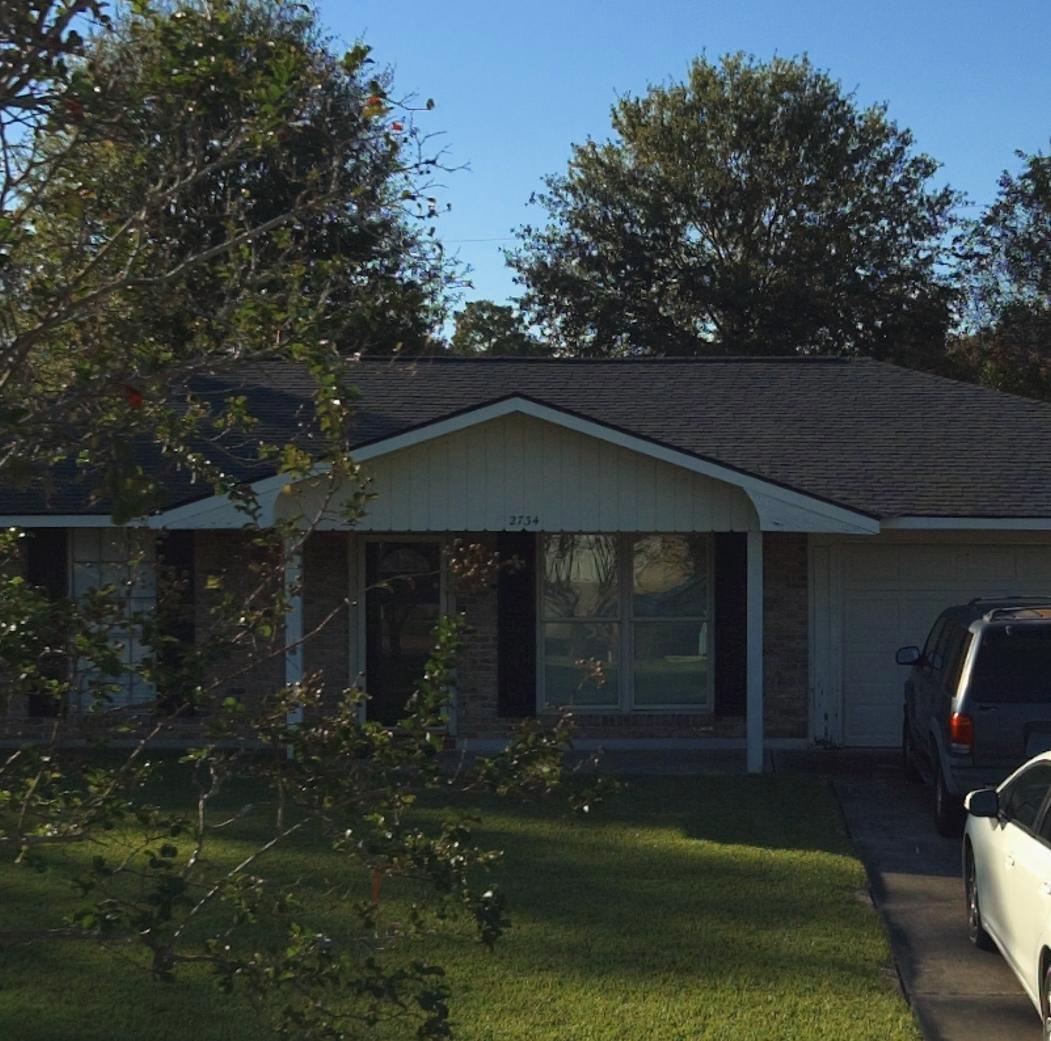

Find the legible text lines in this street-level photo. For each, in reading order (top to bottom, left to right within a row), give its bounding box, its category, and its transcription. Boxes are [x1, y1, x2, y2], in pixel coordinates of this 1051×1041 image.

[508, 514, 541, 528] StreetNumber: 2734